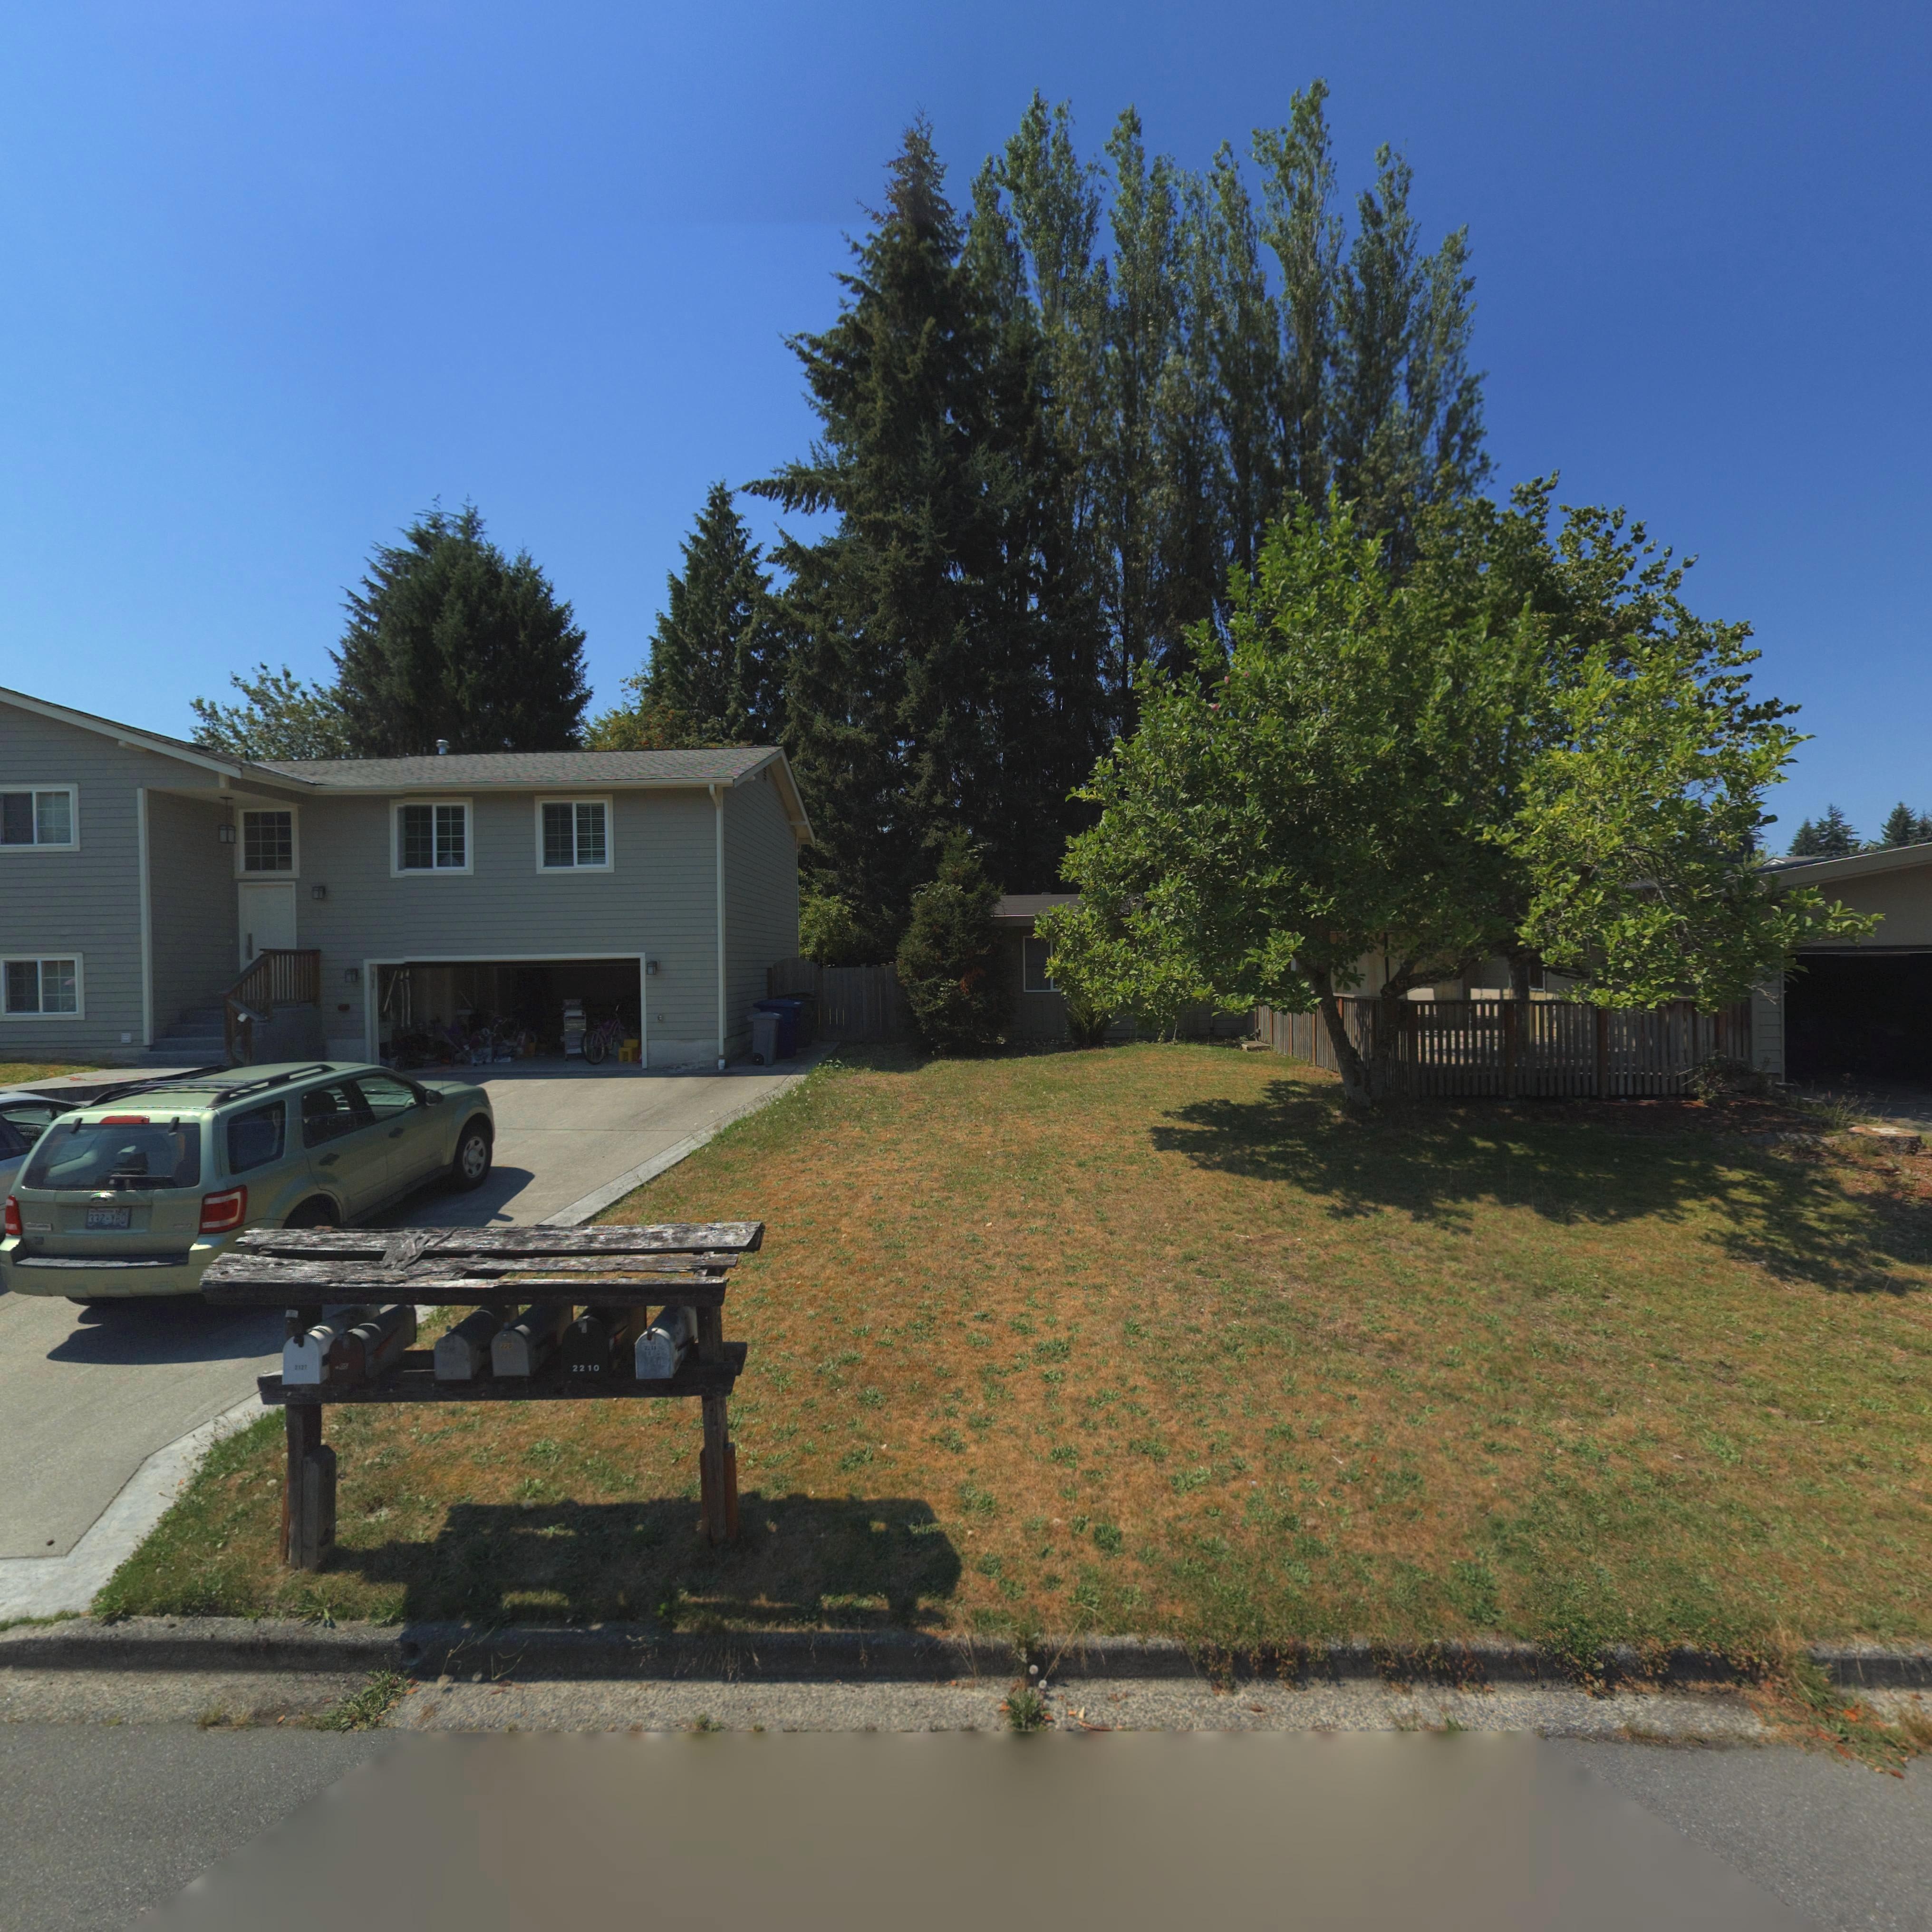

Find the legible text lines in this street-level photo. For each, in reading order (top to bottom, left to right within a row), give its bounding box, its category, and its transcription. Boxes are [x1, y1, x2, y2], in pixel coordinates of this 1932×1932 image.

[499, 1343, 512, 1349] StreetNumber: 220
[293, 1363, 308, 1370] StreetNumber: 2127
[572, 1362, 599, 1373] StreetNumber: 2210